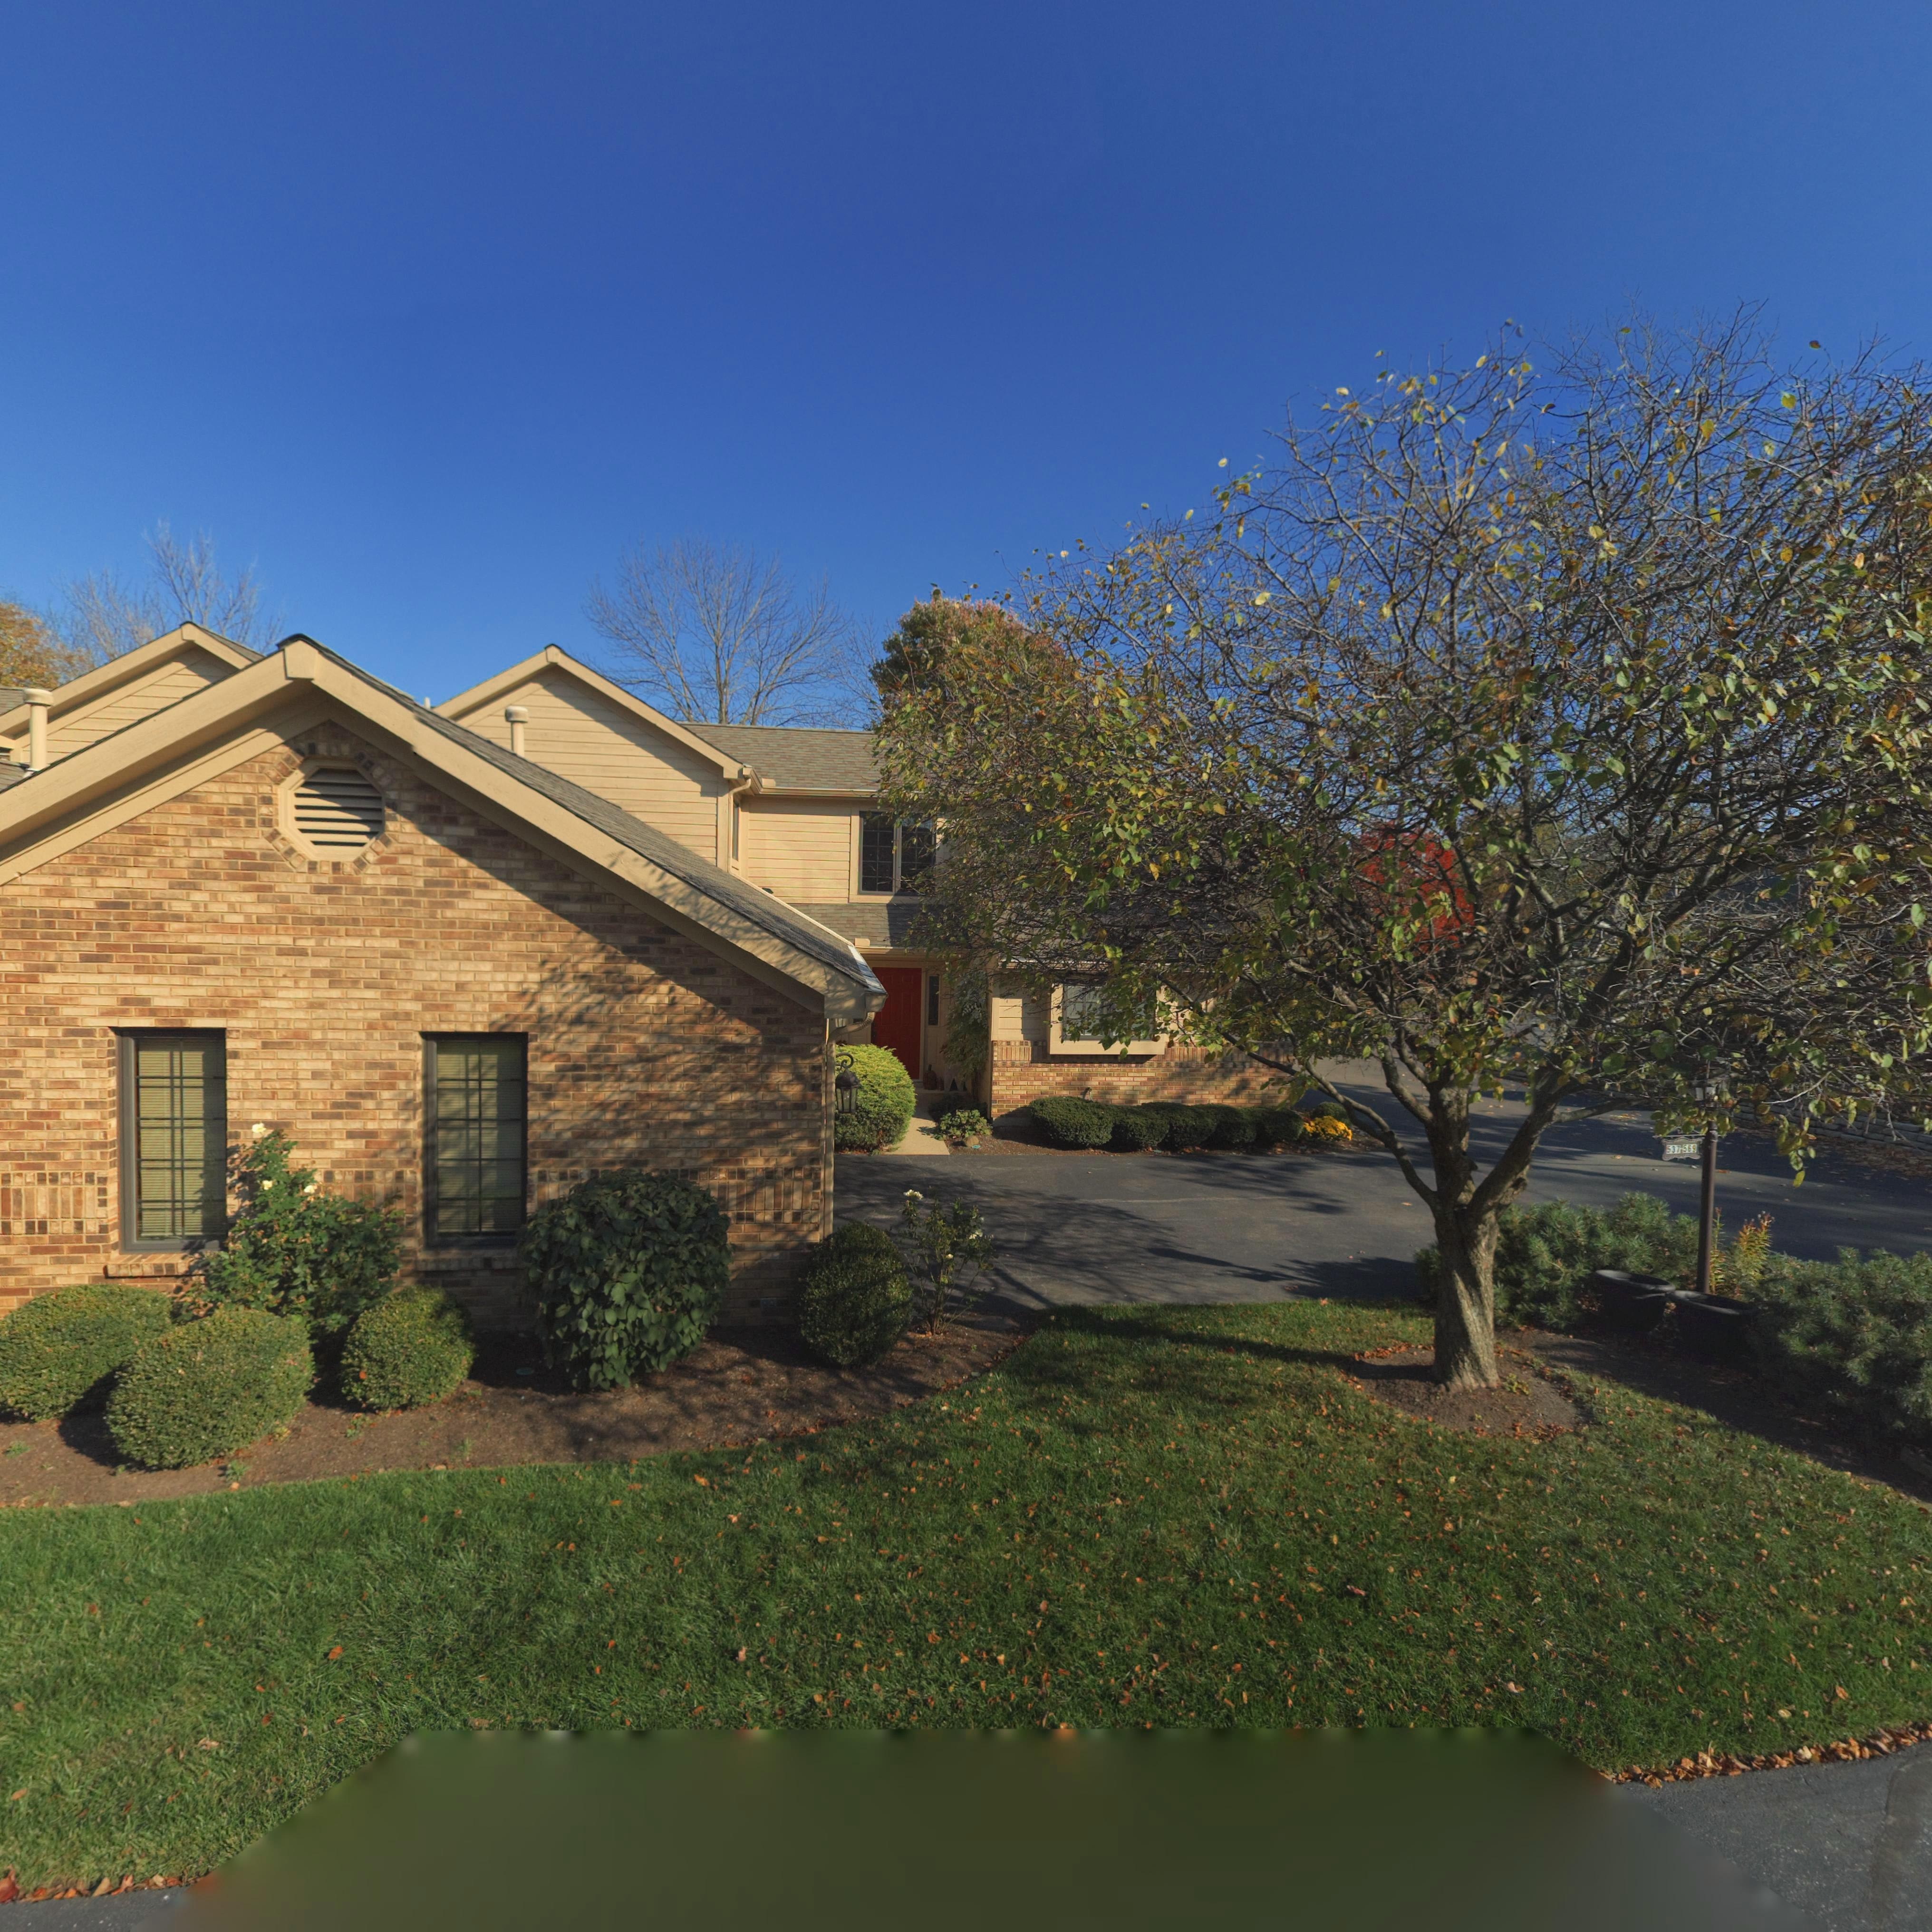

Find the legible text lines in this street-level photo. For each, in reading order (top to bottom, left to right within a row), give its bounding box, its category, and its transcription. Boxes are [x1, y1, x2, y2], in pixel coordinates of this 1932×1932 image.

[1666, 1144, 1681, 1154] StreetNumber: 537
[1682, 1144, 1697, 1154] StreetNumber: 569